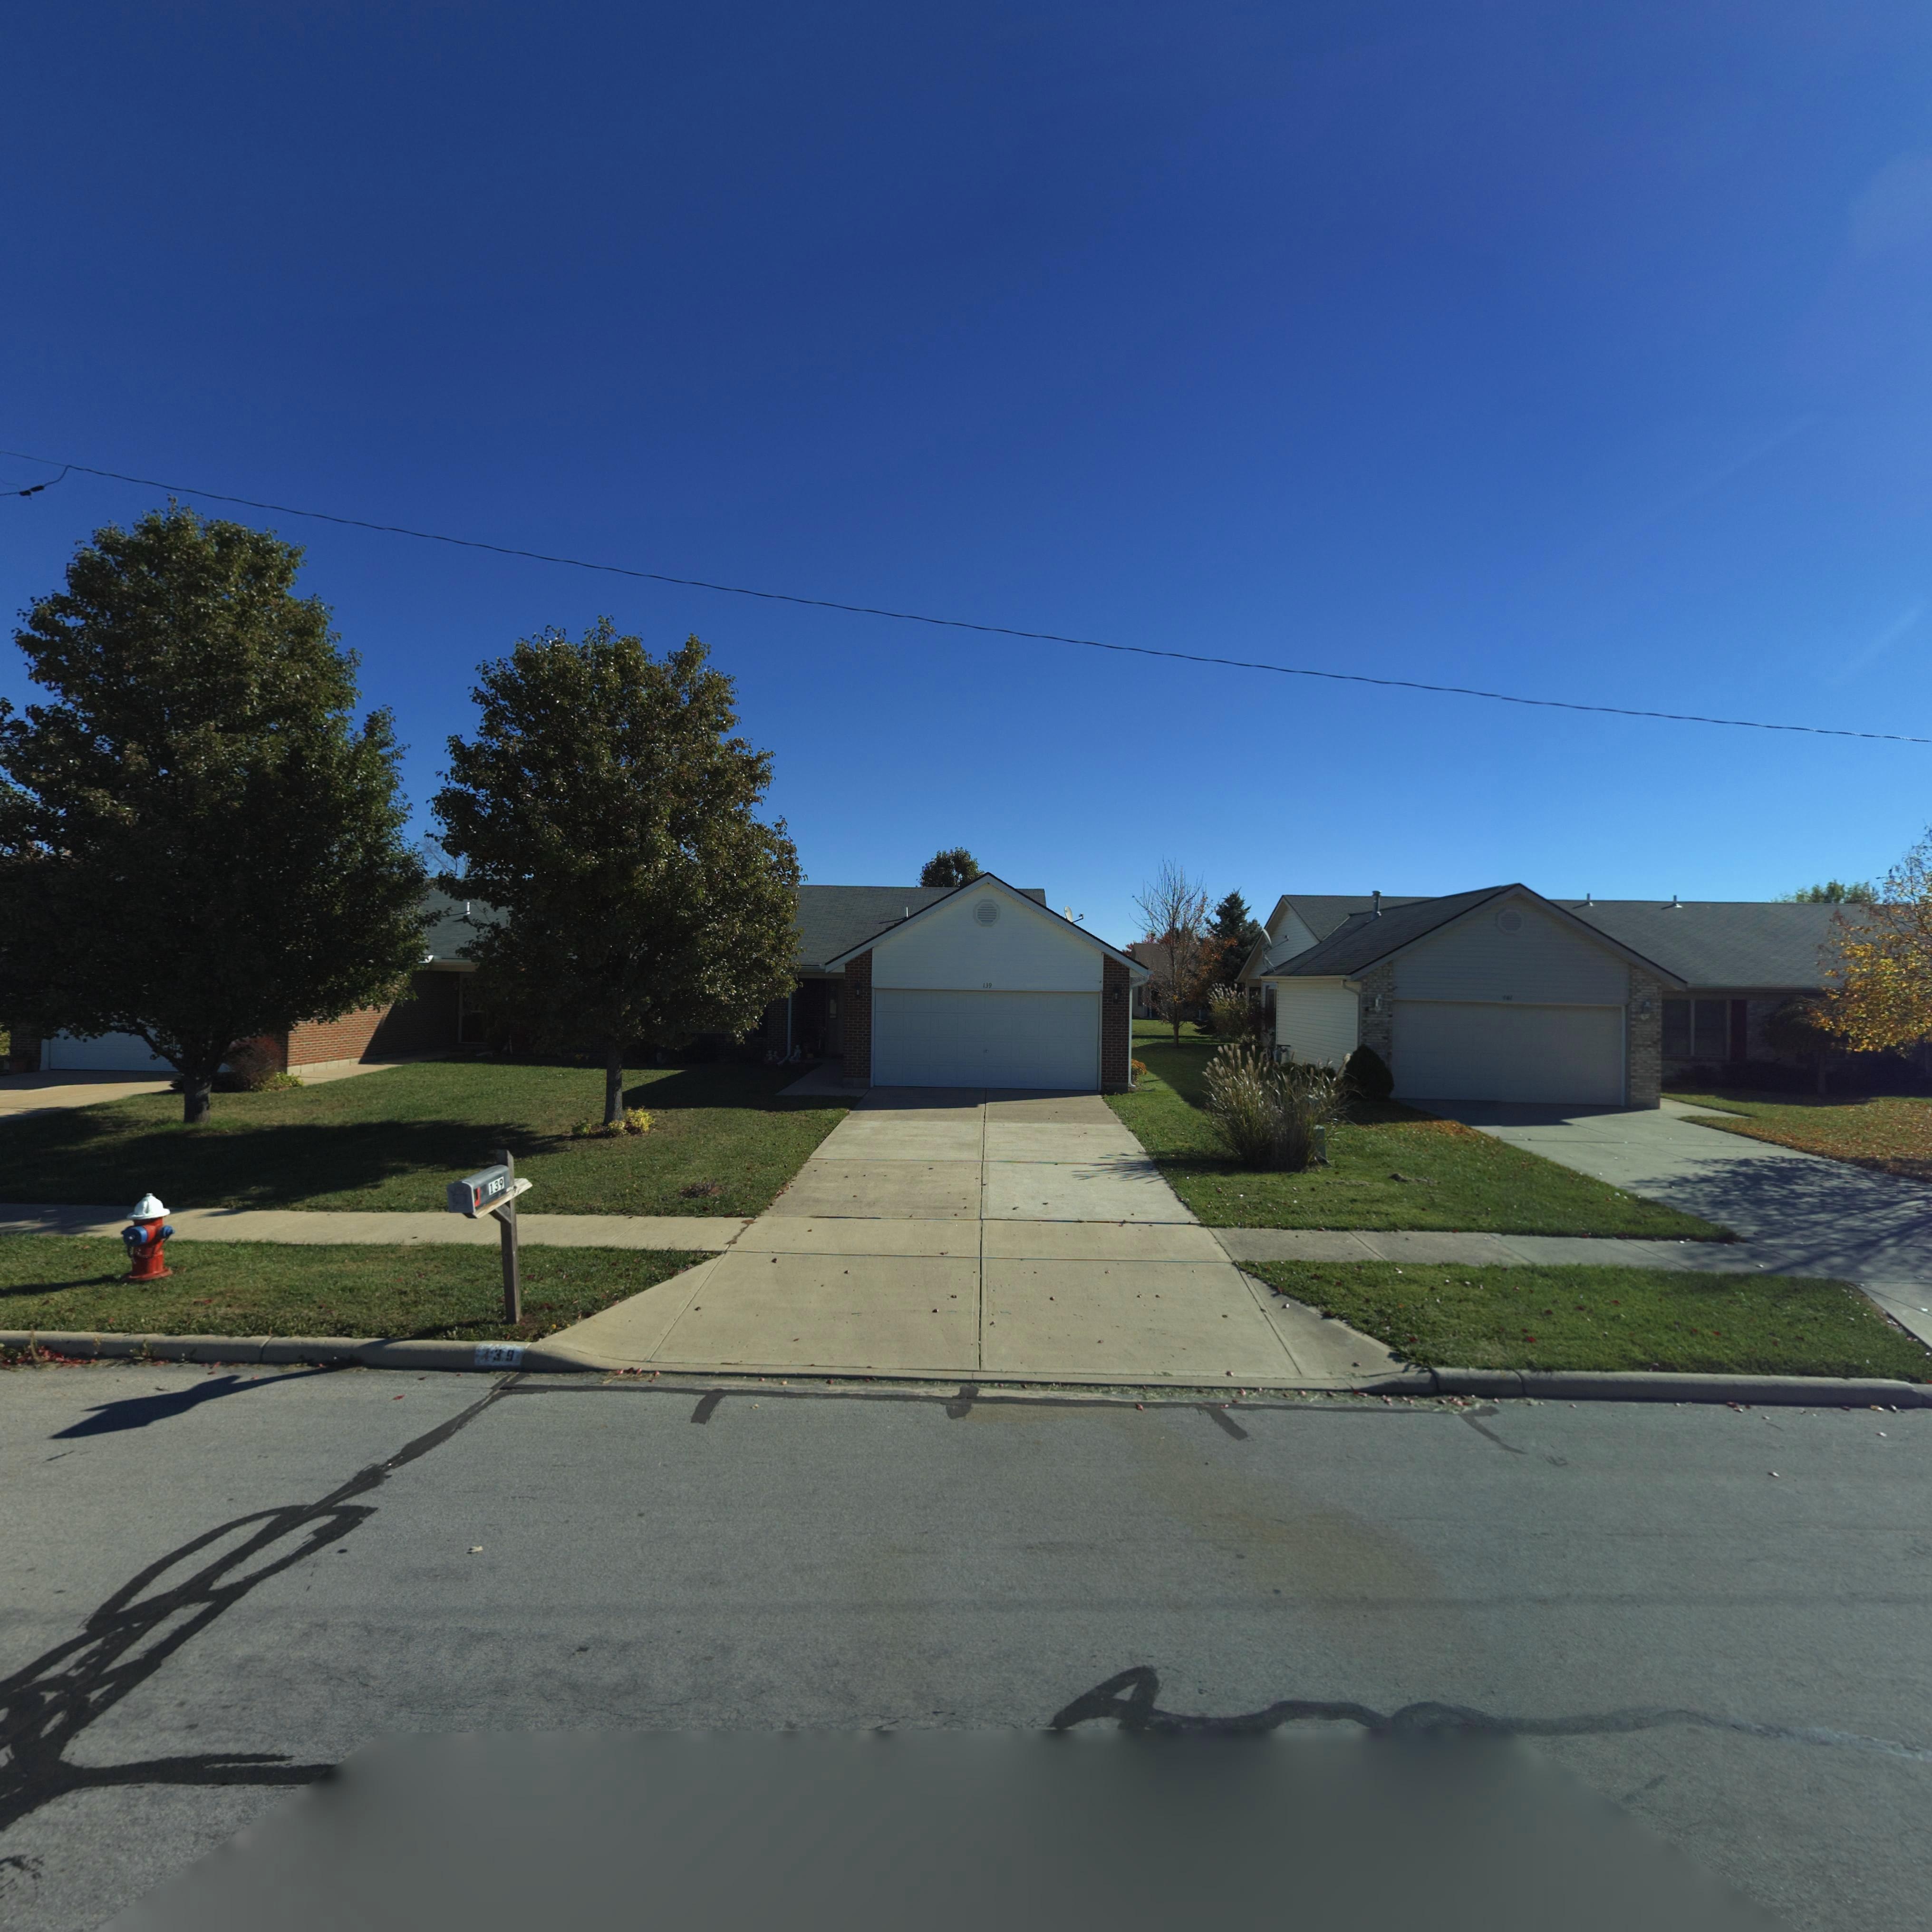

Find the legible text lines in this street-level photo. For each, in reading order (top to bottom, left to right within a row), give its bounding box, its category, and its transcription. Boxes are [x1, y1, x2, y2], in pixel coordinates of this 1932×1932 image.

[982, 982, 993, 989] StreetNumber: 139
[1500, 994, 1514, 1002] StreetNumber: 141
[489, 1177, 504, 1195] StreetNumber: 139
[482, 1347, 515, 1362] StreetNumber: 139